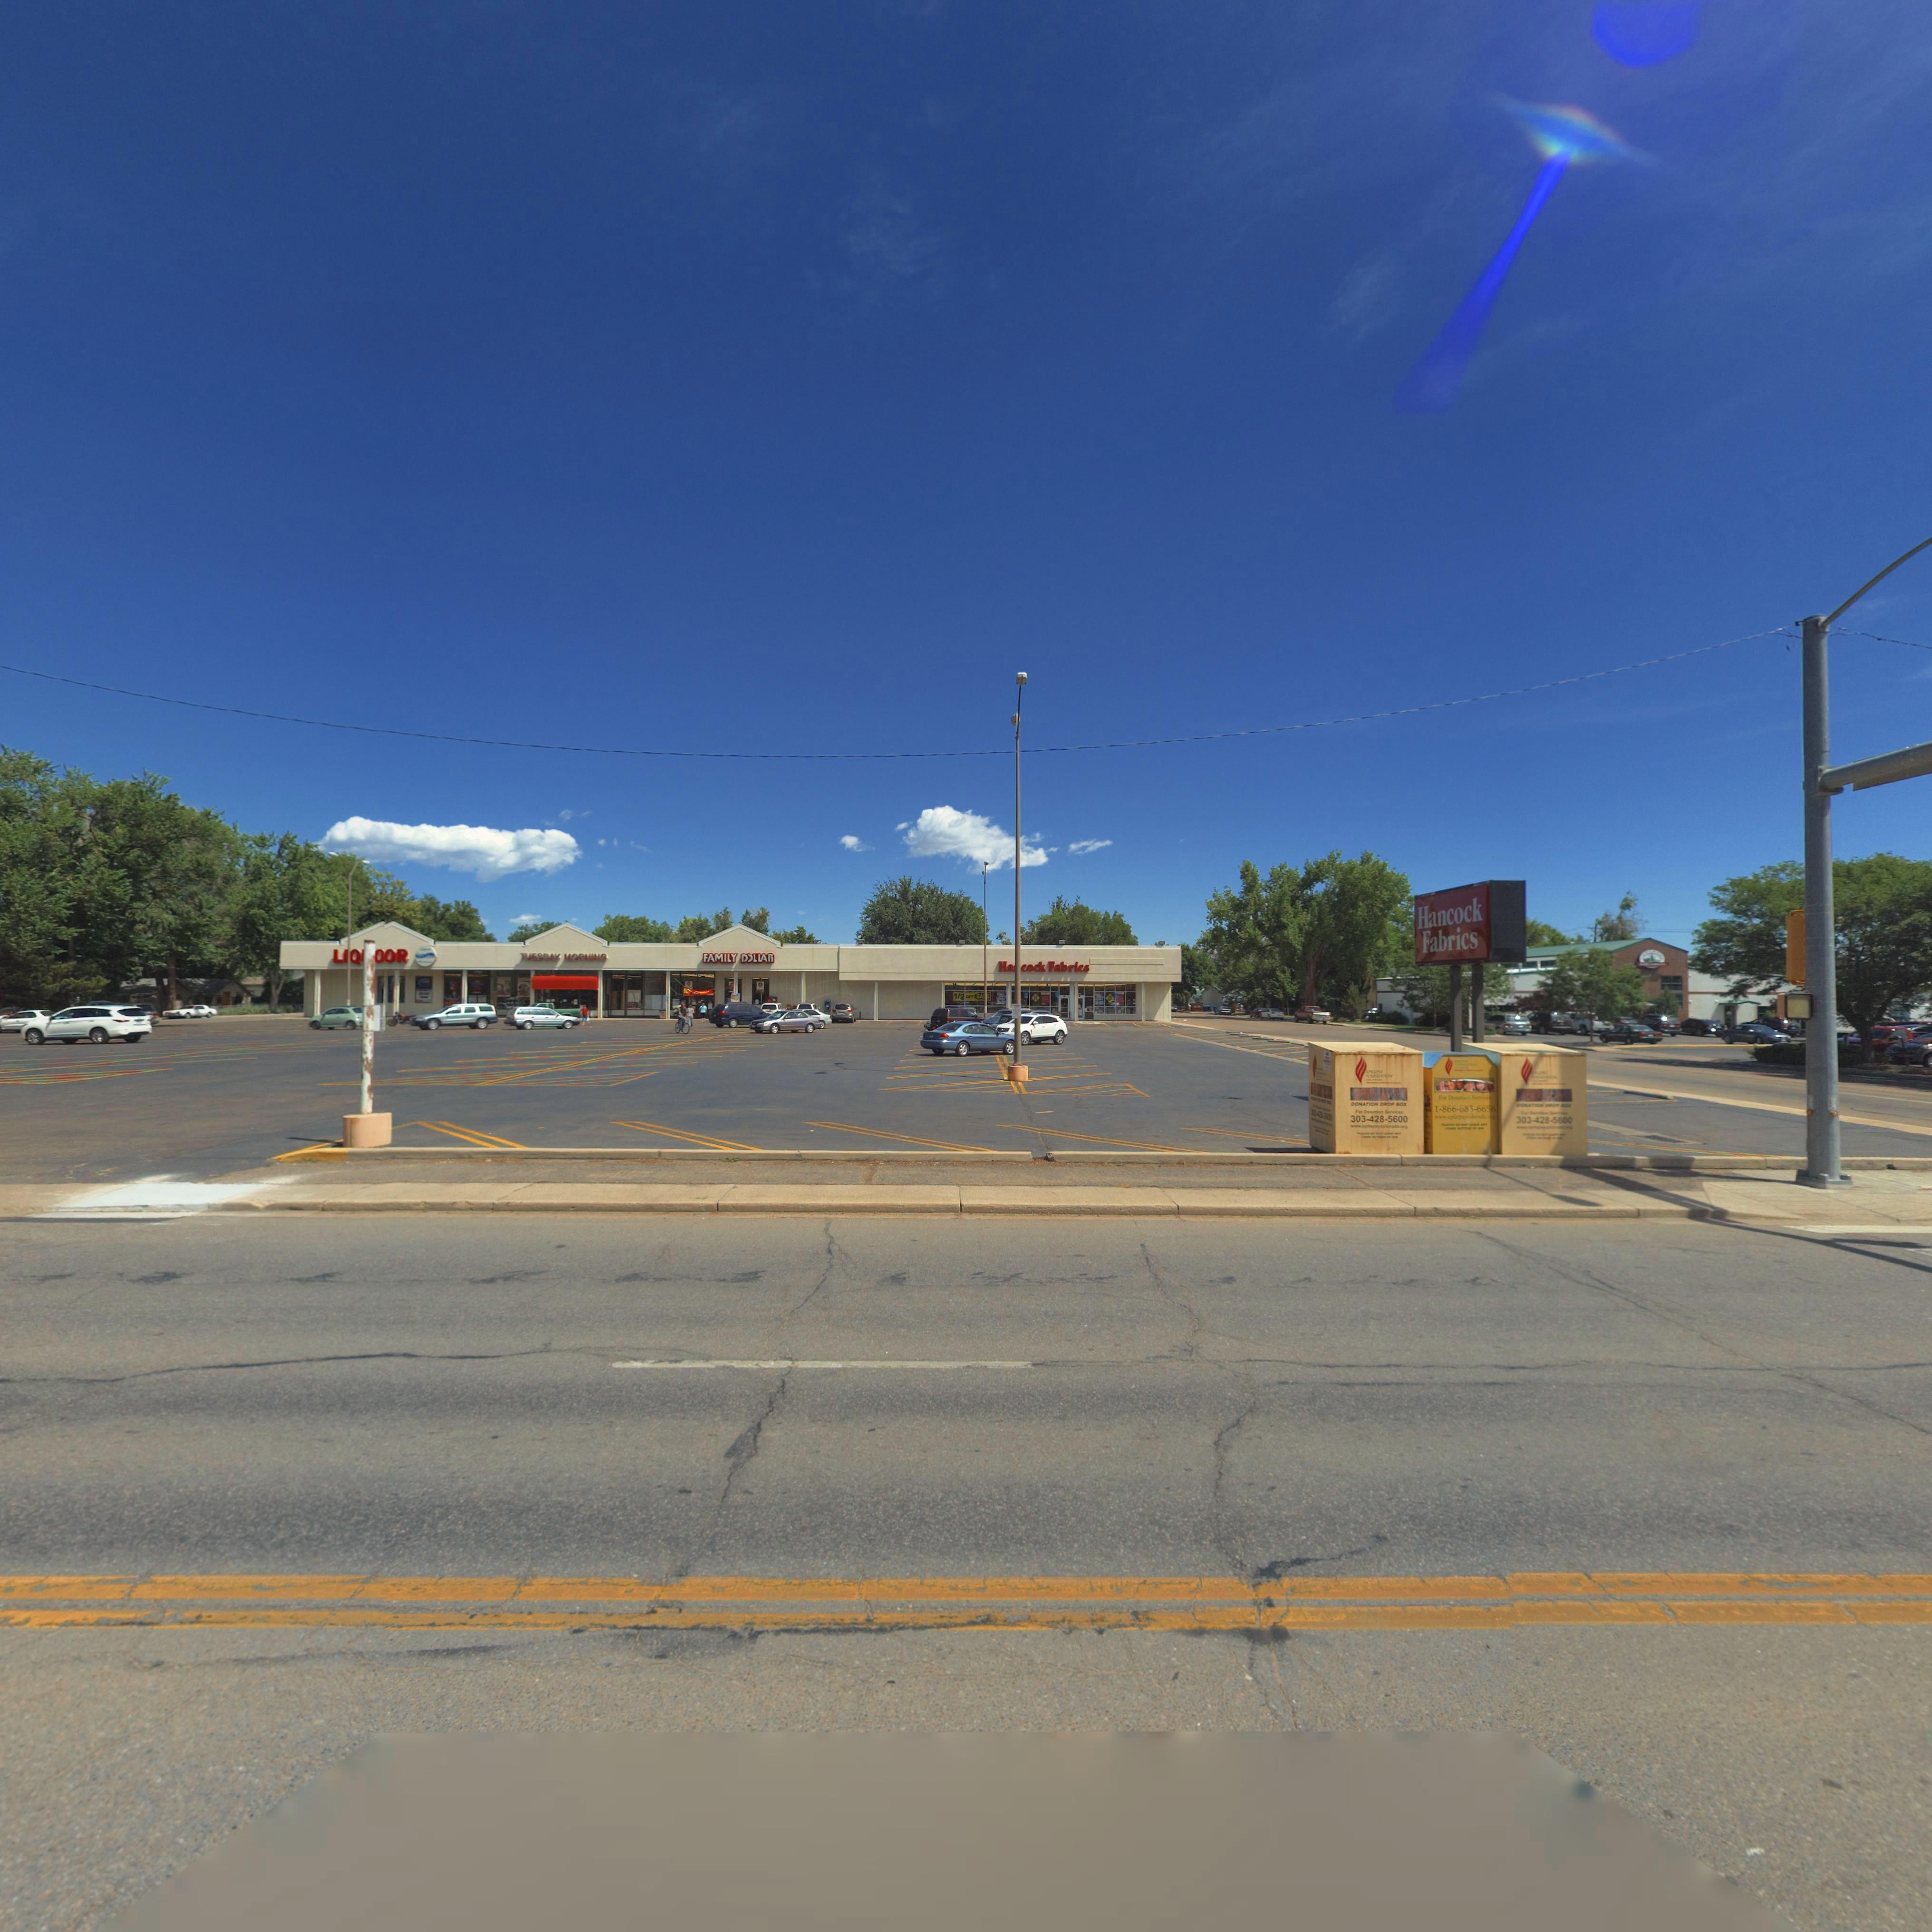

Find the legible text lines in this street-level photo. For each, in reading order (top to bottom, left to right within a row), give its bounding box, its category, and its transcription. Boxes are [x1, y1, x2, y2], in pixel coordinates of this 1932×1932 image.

[1417, 896, 1484, 930] BusinessName: Hancock
[1422, 926, 1478, 954] BusinessName: Fabrics
[519, 952, 607, 961] BusinessName: TU*S**Y *O*****
[702, 952, 774, 963] BusinessName: FAMILY D*LLAR
[997, 960, 1090, 973] BusinessName: Ha*cock Fabrics